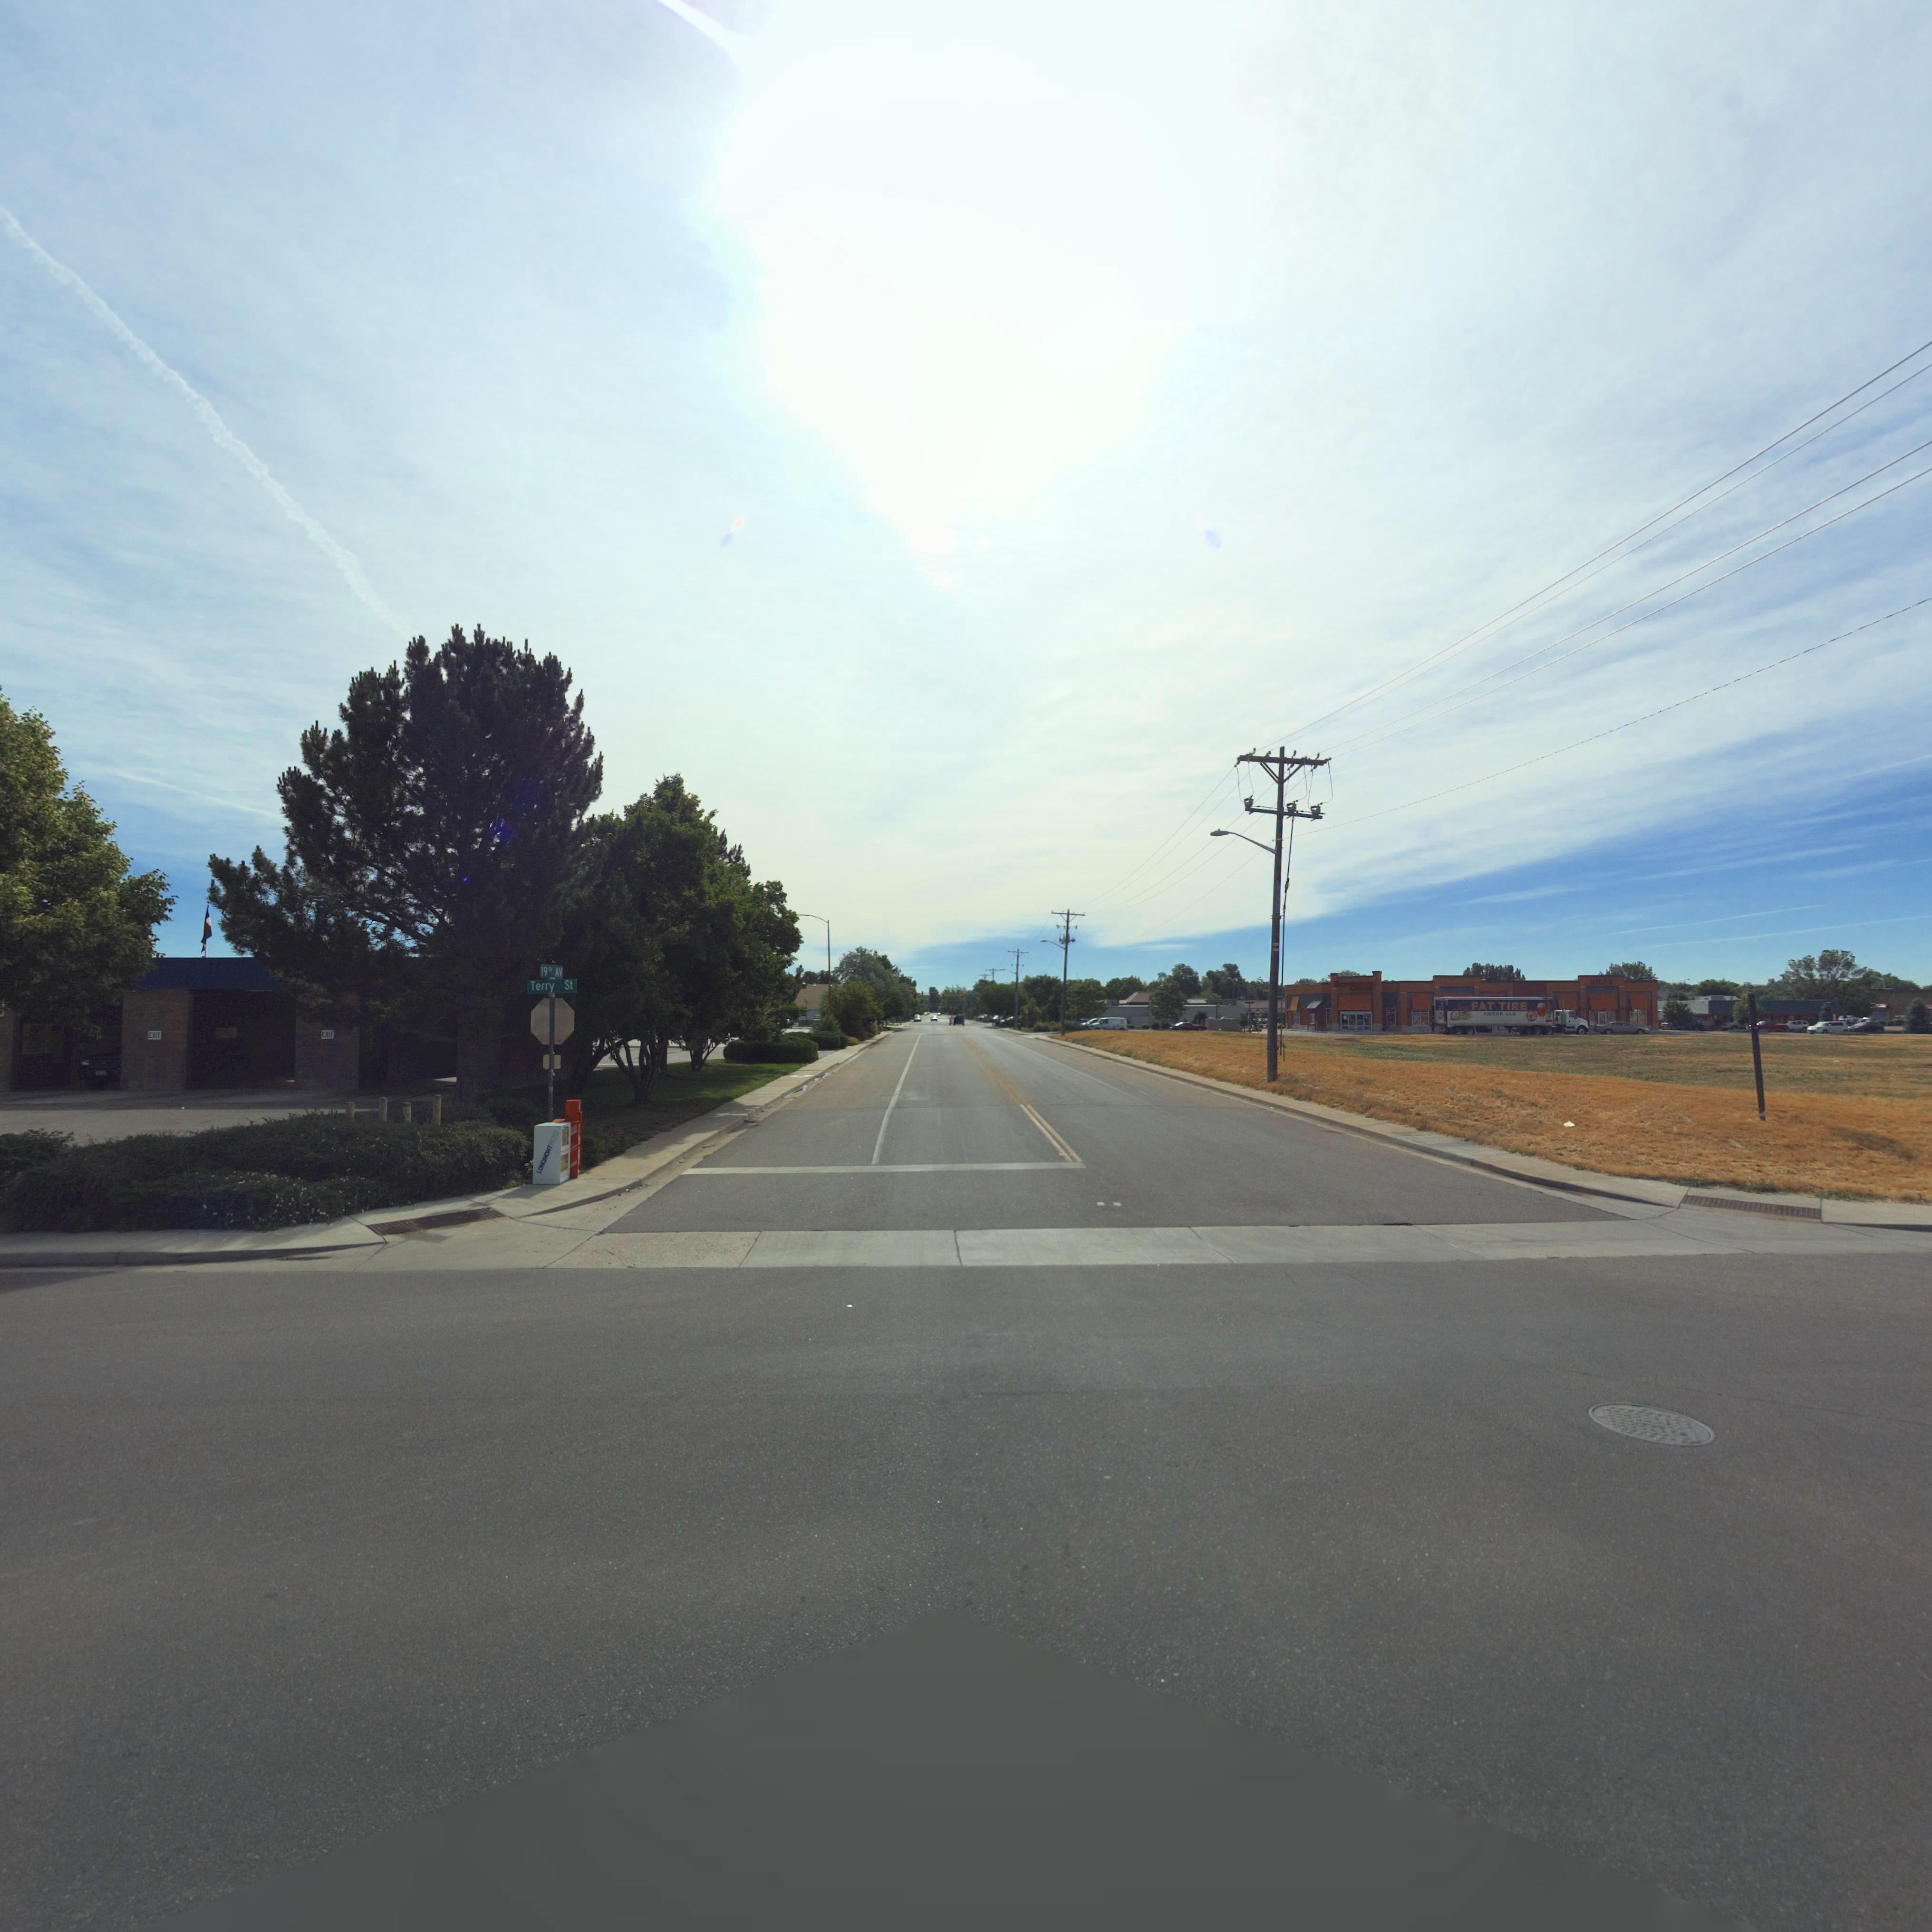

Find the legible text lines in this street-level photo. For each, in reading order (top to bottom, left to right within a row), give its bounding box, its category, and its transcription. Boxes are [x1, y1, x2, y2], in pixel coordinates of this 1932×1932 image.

[541, 966, 563, 977] StreetName: 19TH AV
[529, 979, 573, 993] StreetName: Terry St